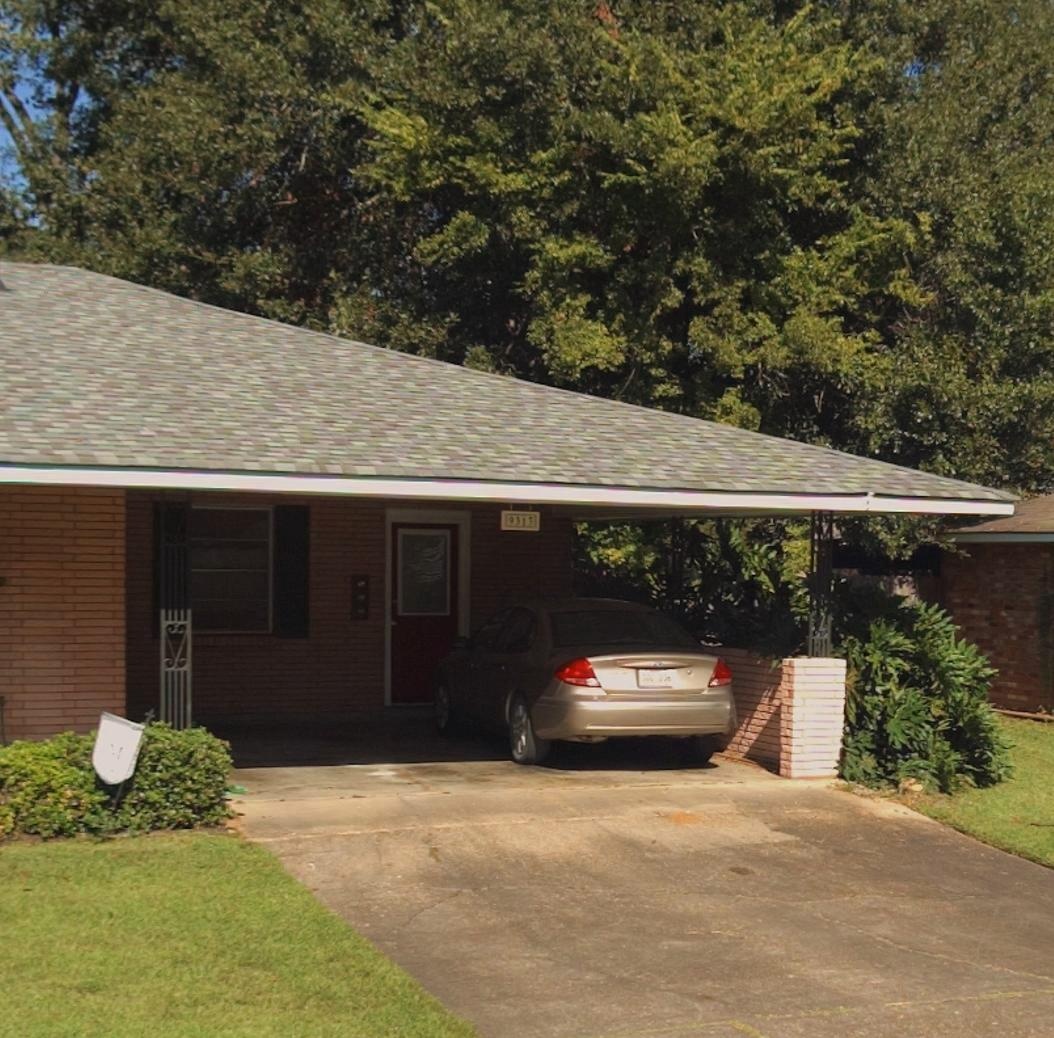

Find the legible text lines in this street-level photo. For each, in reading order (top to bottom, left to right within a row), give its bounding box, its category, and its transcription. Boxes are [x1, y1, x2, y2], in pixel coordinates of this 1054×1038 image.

[507, 516, 534, 526] StreetNumber: 9313